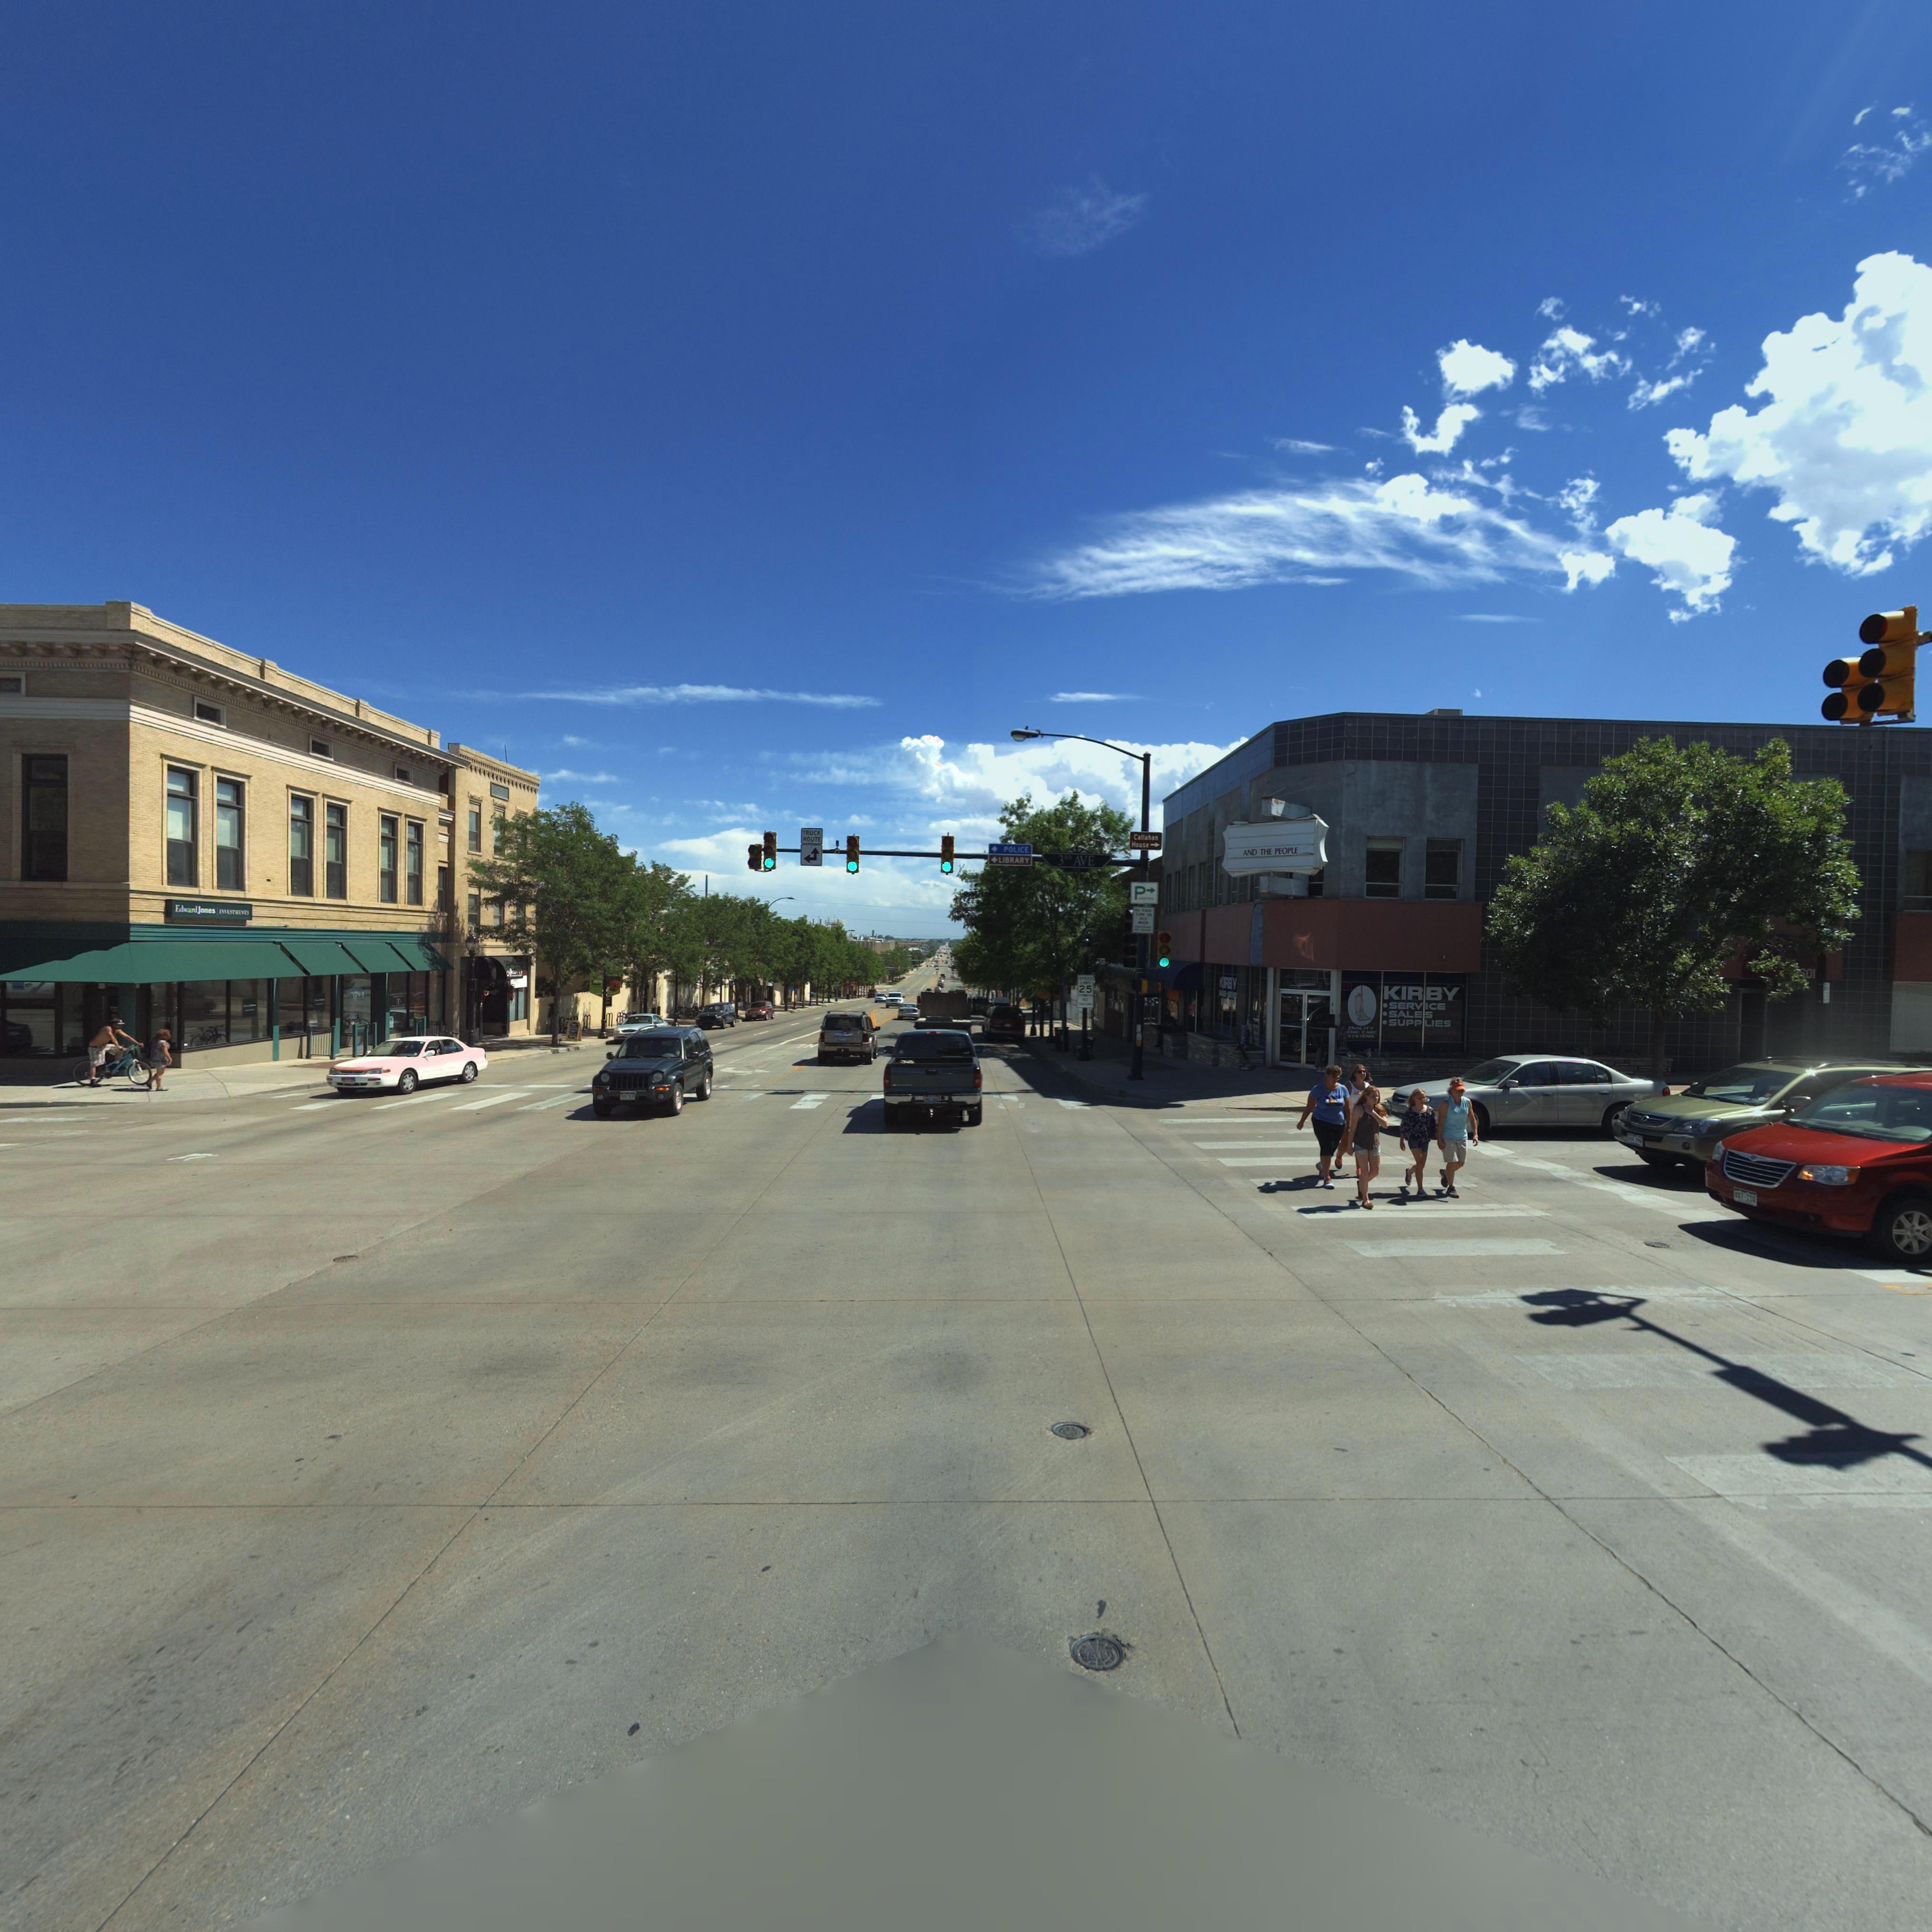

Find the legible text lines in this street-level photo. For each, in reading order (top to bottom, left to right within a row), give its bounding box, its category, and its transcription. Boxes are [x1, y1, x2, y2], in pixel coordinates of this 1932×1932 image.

[1058, 854, 1095, 867] StreetName: 3RD AVE
[174, 904, 216, 915] BusinessName: Edward Jones
[1798, 967, 1816, 979] StreetNumber: *01
[1218, 976, 1237, 990] BusinessName: KIRBY
[1383, 985, 1460, 1001] BusinessName: KIRBY
[1331, 1002, 1333, 1013] StreetNumber: *1